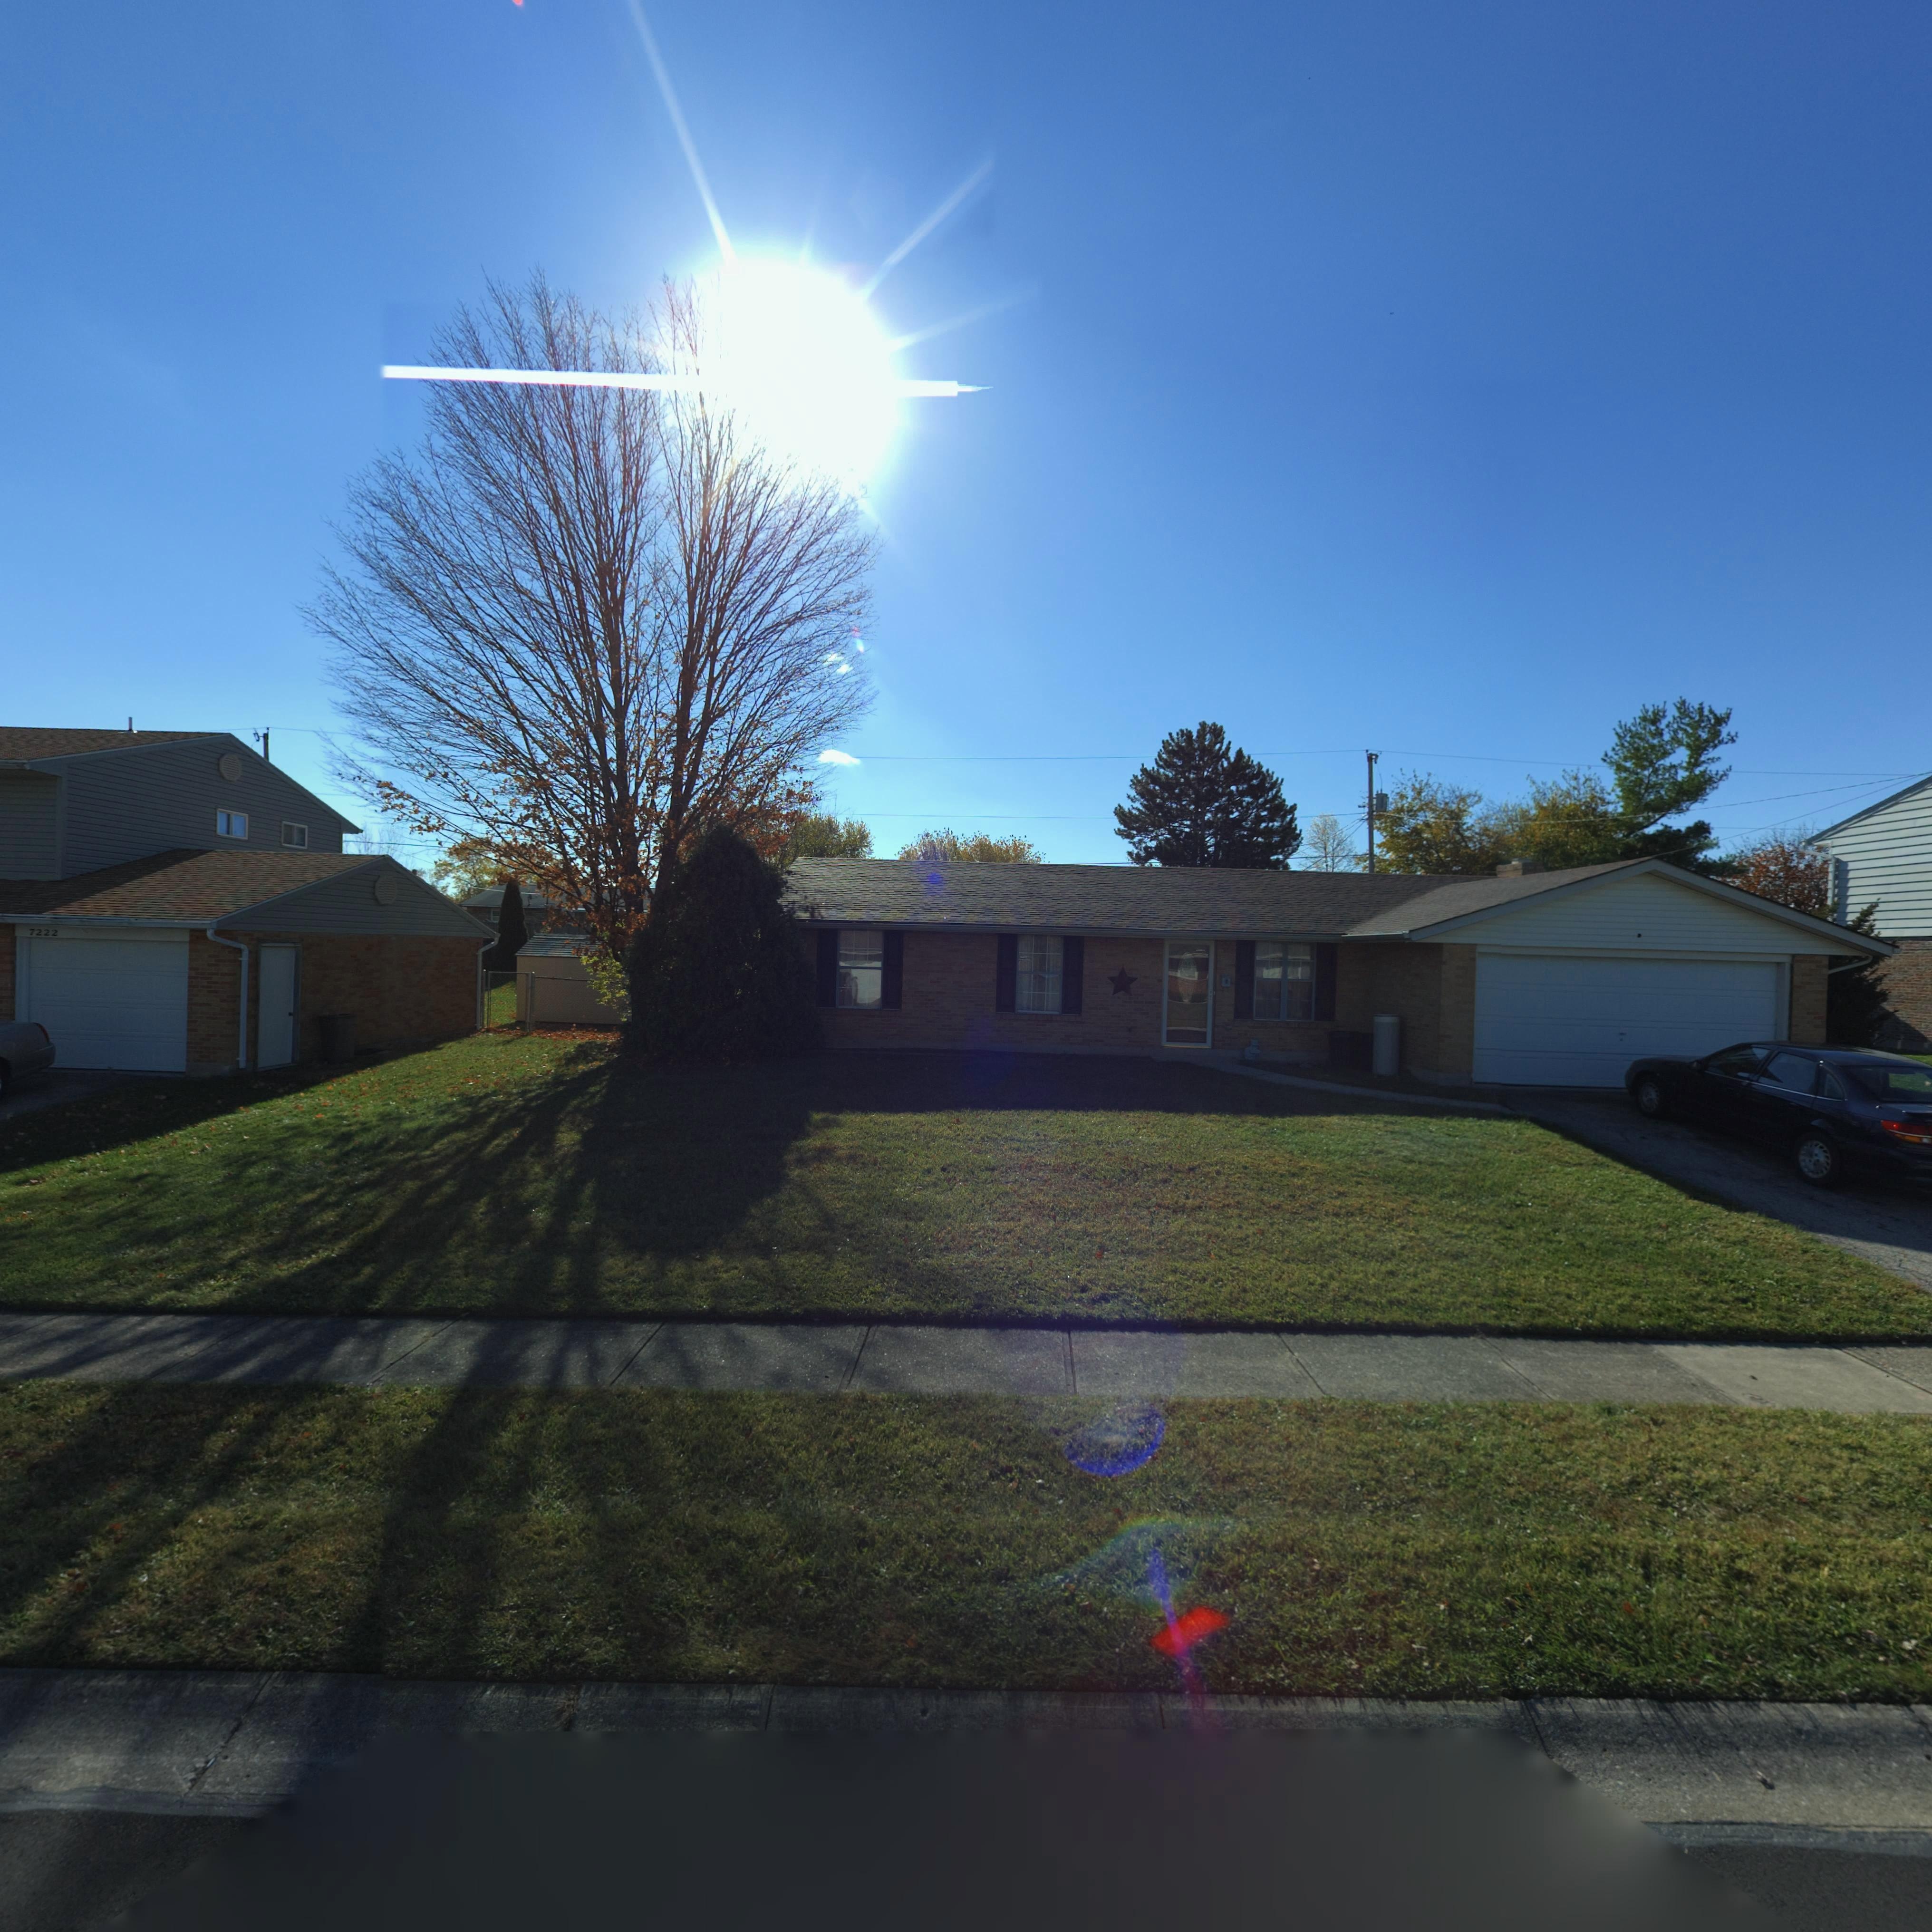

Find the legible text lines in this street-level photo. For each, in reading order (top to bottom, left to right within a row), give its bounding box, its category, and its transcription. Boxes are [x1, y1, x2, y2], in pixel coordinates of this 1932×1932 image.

[28, 928, 58, 937] StreetNumber: 7222